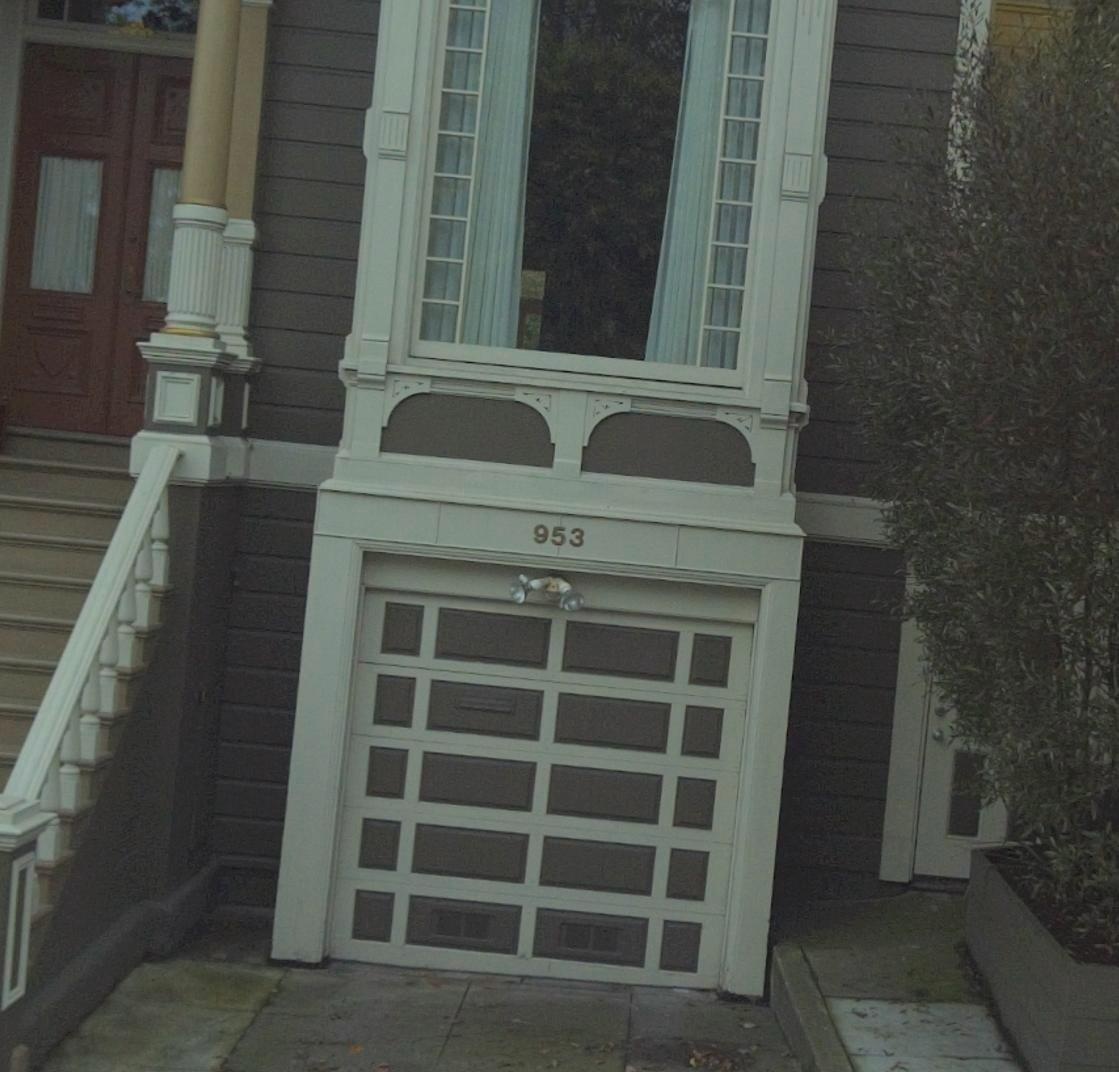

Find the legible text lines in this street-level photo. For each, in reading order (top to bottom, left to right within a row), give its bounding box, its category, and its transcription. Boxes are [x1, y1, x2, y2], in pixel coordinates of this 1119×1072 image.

[530, 521, 588, 551] StreetNumber: 953